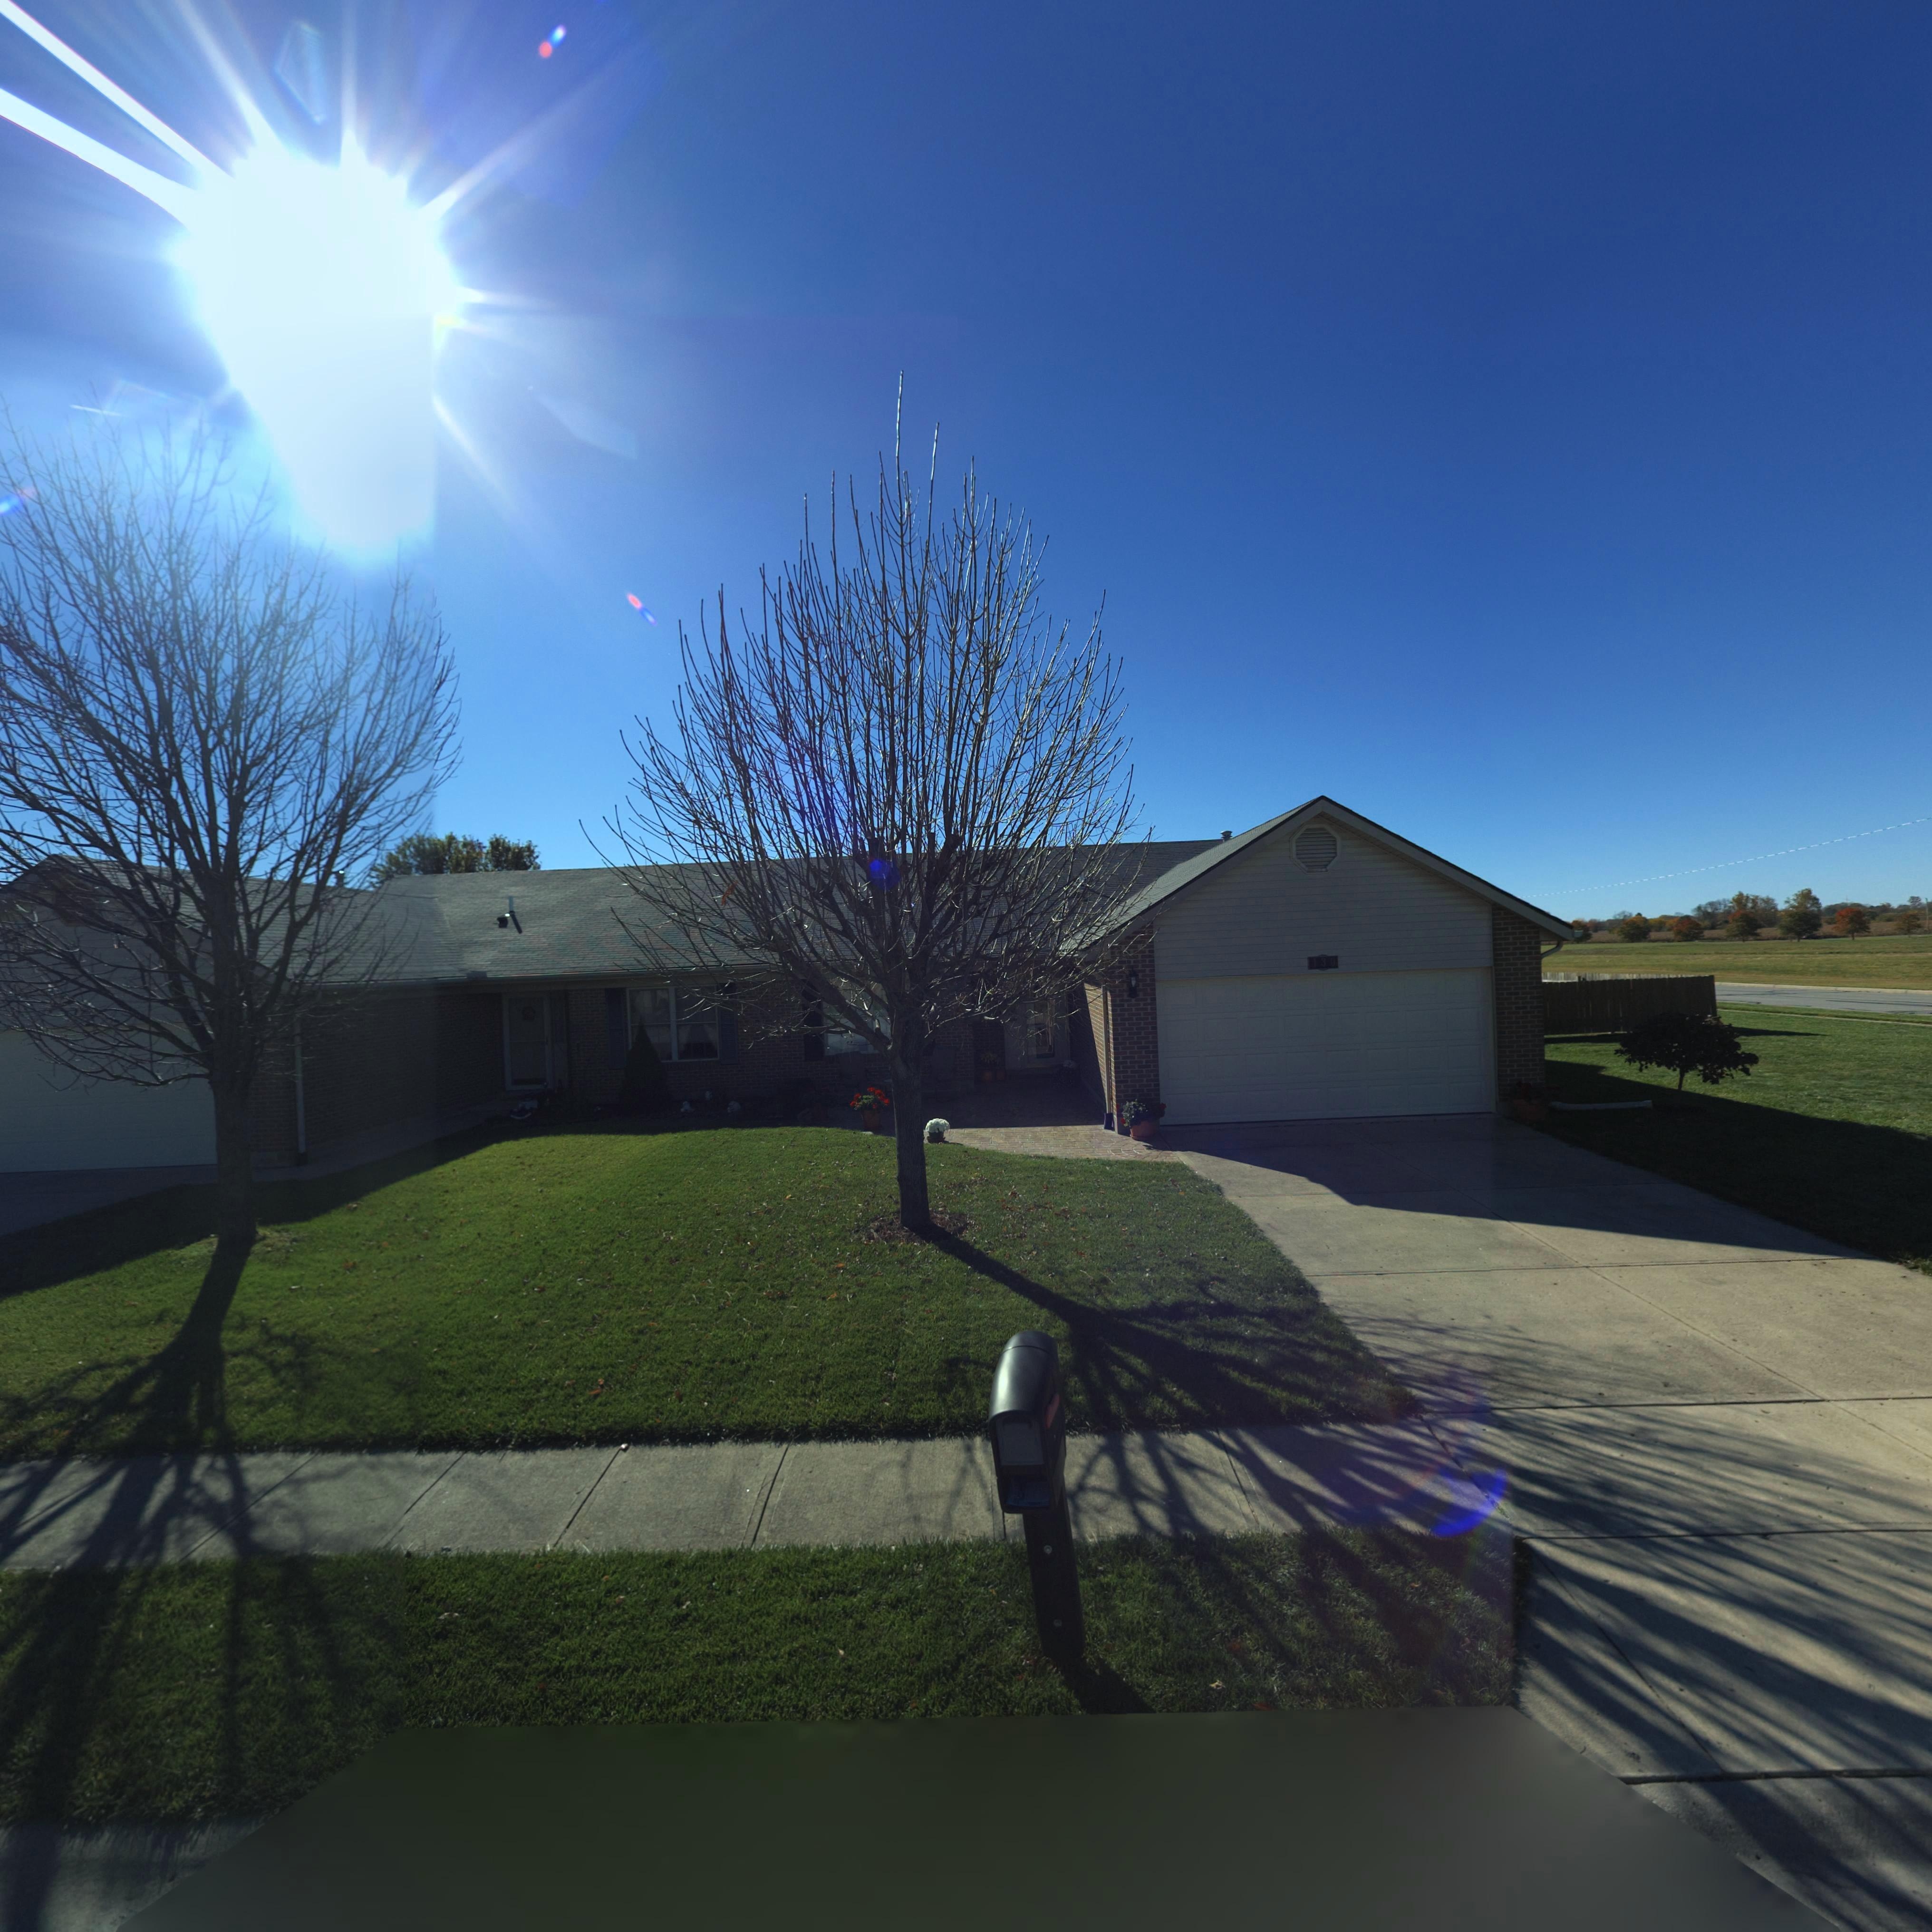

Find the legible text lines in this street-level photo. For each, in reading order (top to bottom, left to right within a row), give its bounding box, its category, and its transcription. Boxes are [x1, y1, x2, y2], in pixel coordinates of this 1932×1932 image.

[1312, 956, 1336, 969] StreetNumber: 130